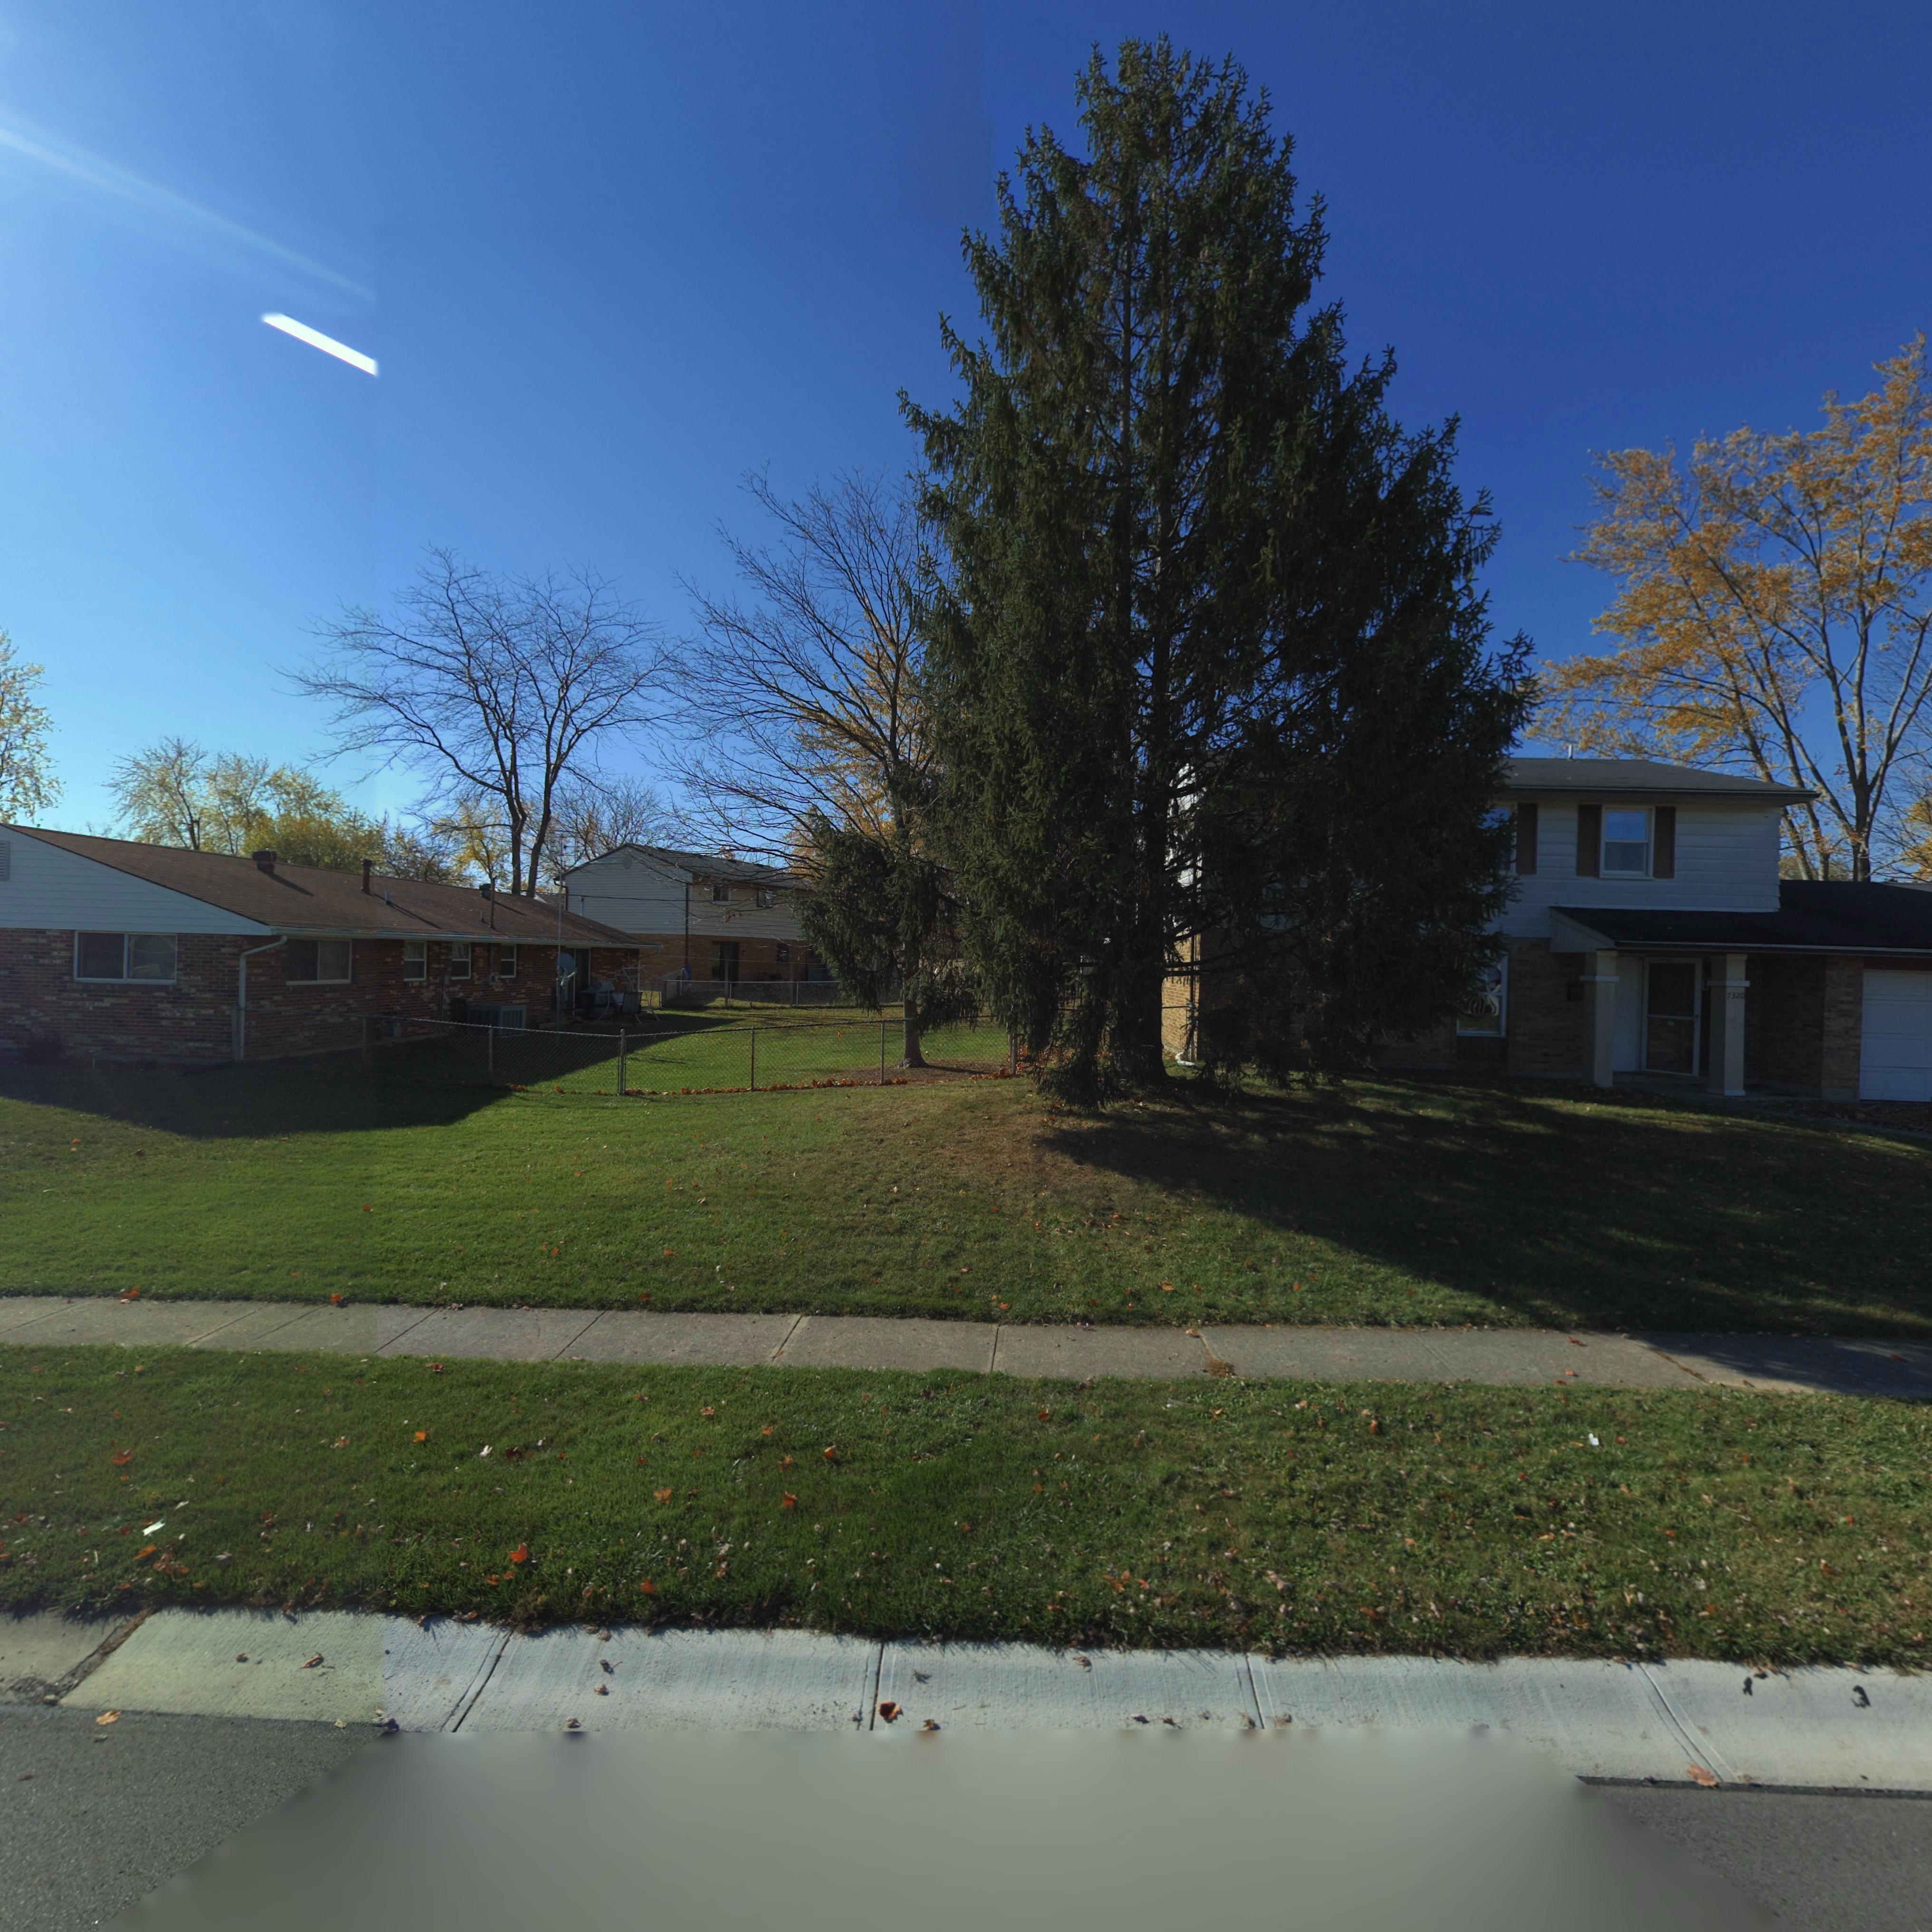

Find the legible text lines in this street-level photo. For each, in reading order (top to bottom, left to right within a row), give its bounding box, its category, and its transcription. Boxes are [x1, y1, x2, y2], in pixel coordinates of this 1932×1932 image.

[1725, 991, 1747, 1000] StreetNumber: 7320